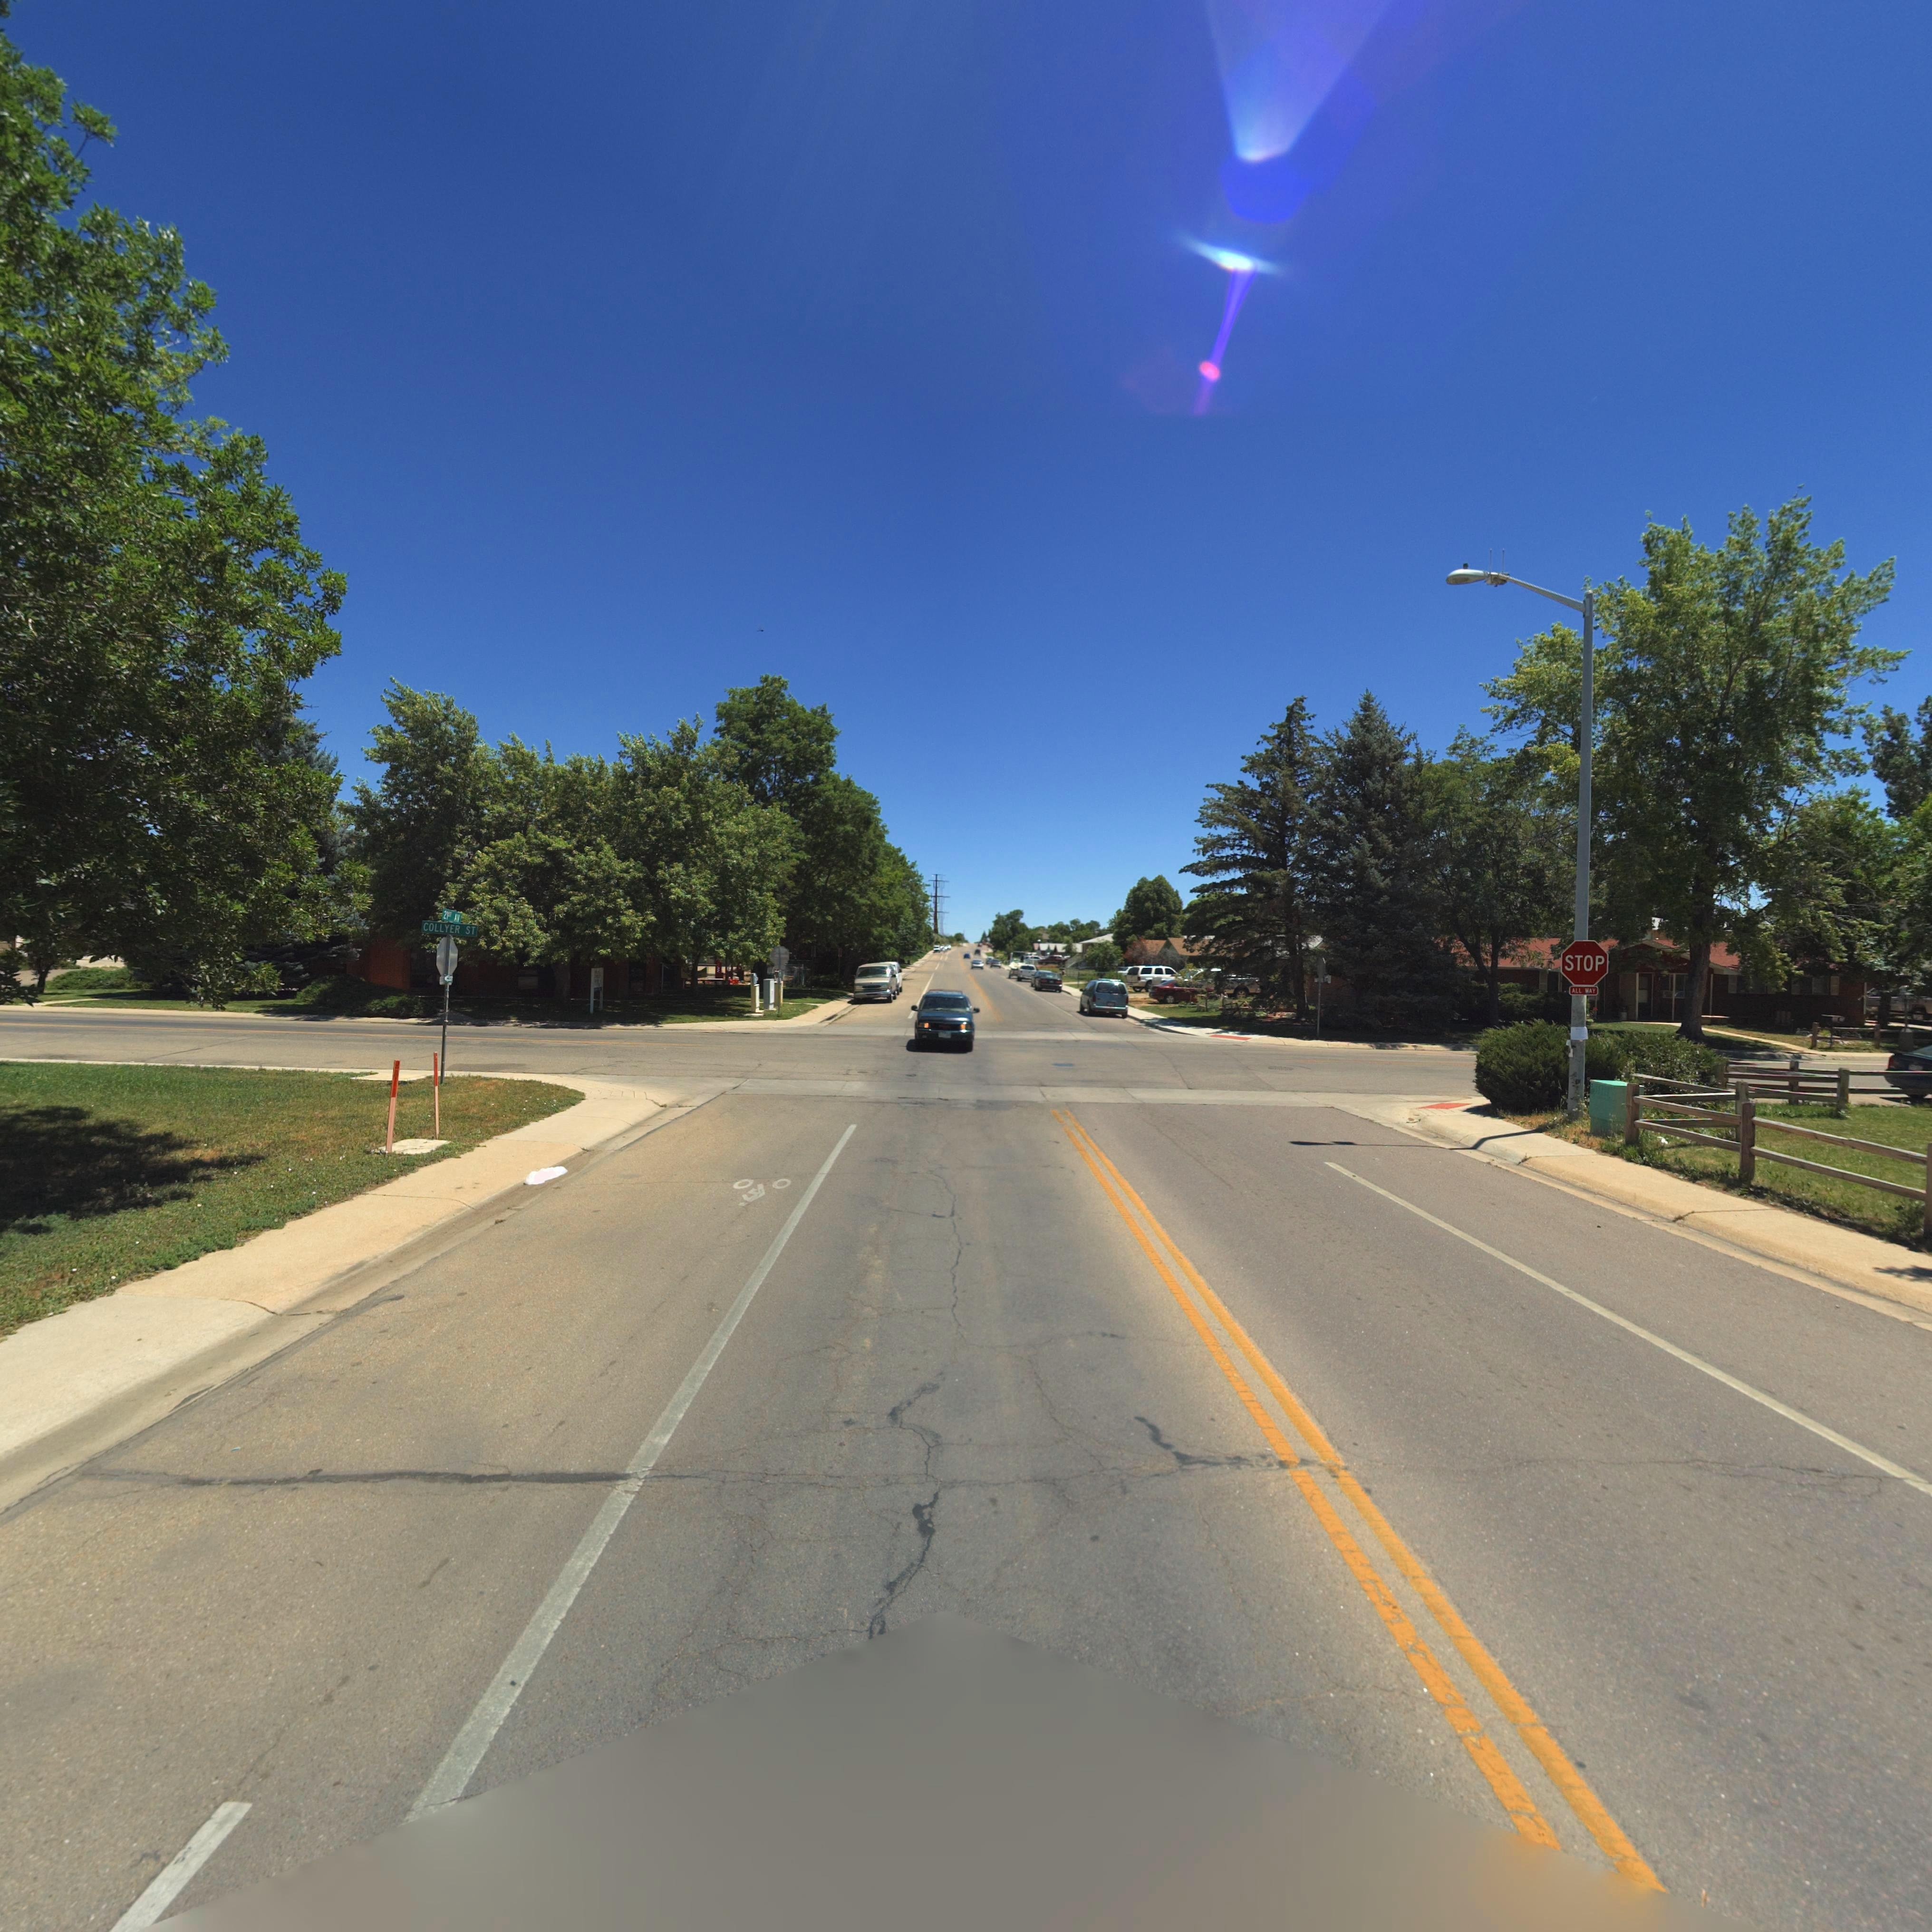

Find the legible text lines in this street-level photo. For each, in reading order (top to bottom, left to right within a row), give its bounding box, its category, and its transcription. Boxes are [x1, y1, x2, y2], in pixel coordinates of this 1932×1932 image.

[443, 909, 461, 922] StreetName: 21ST AV
[423, 922, 476, 935] StreetName: COLLYER ST